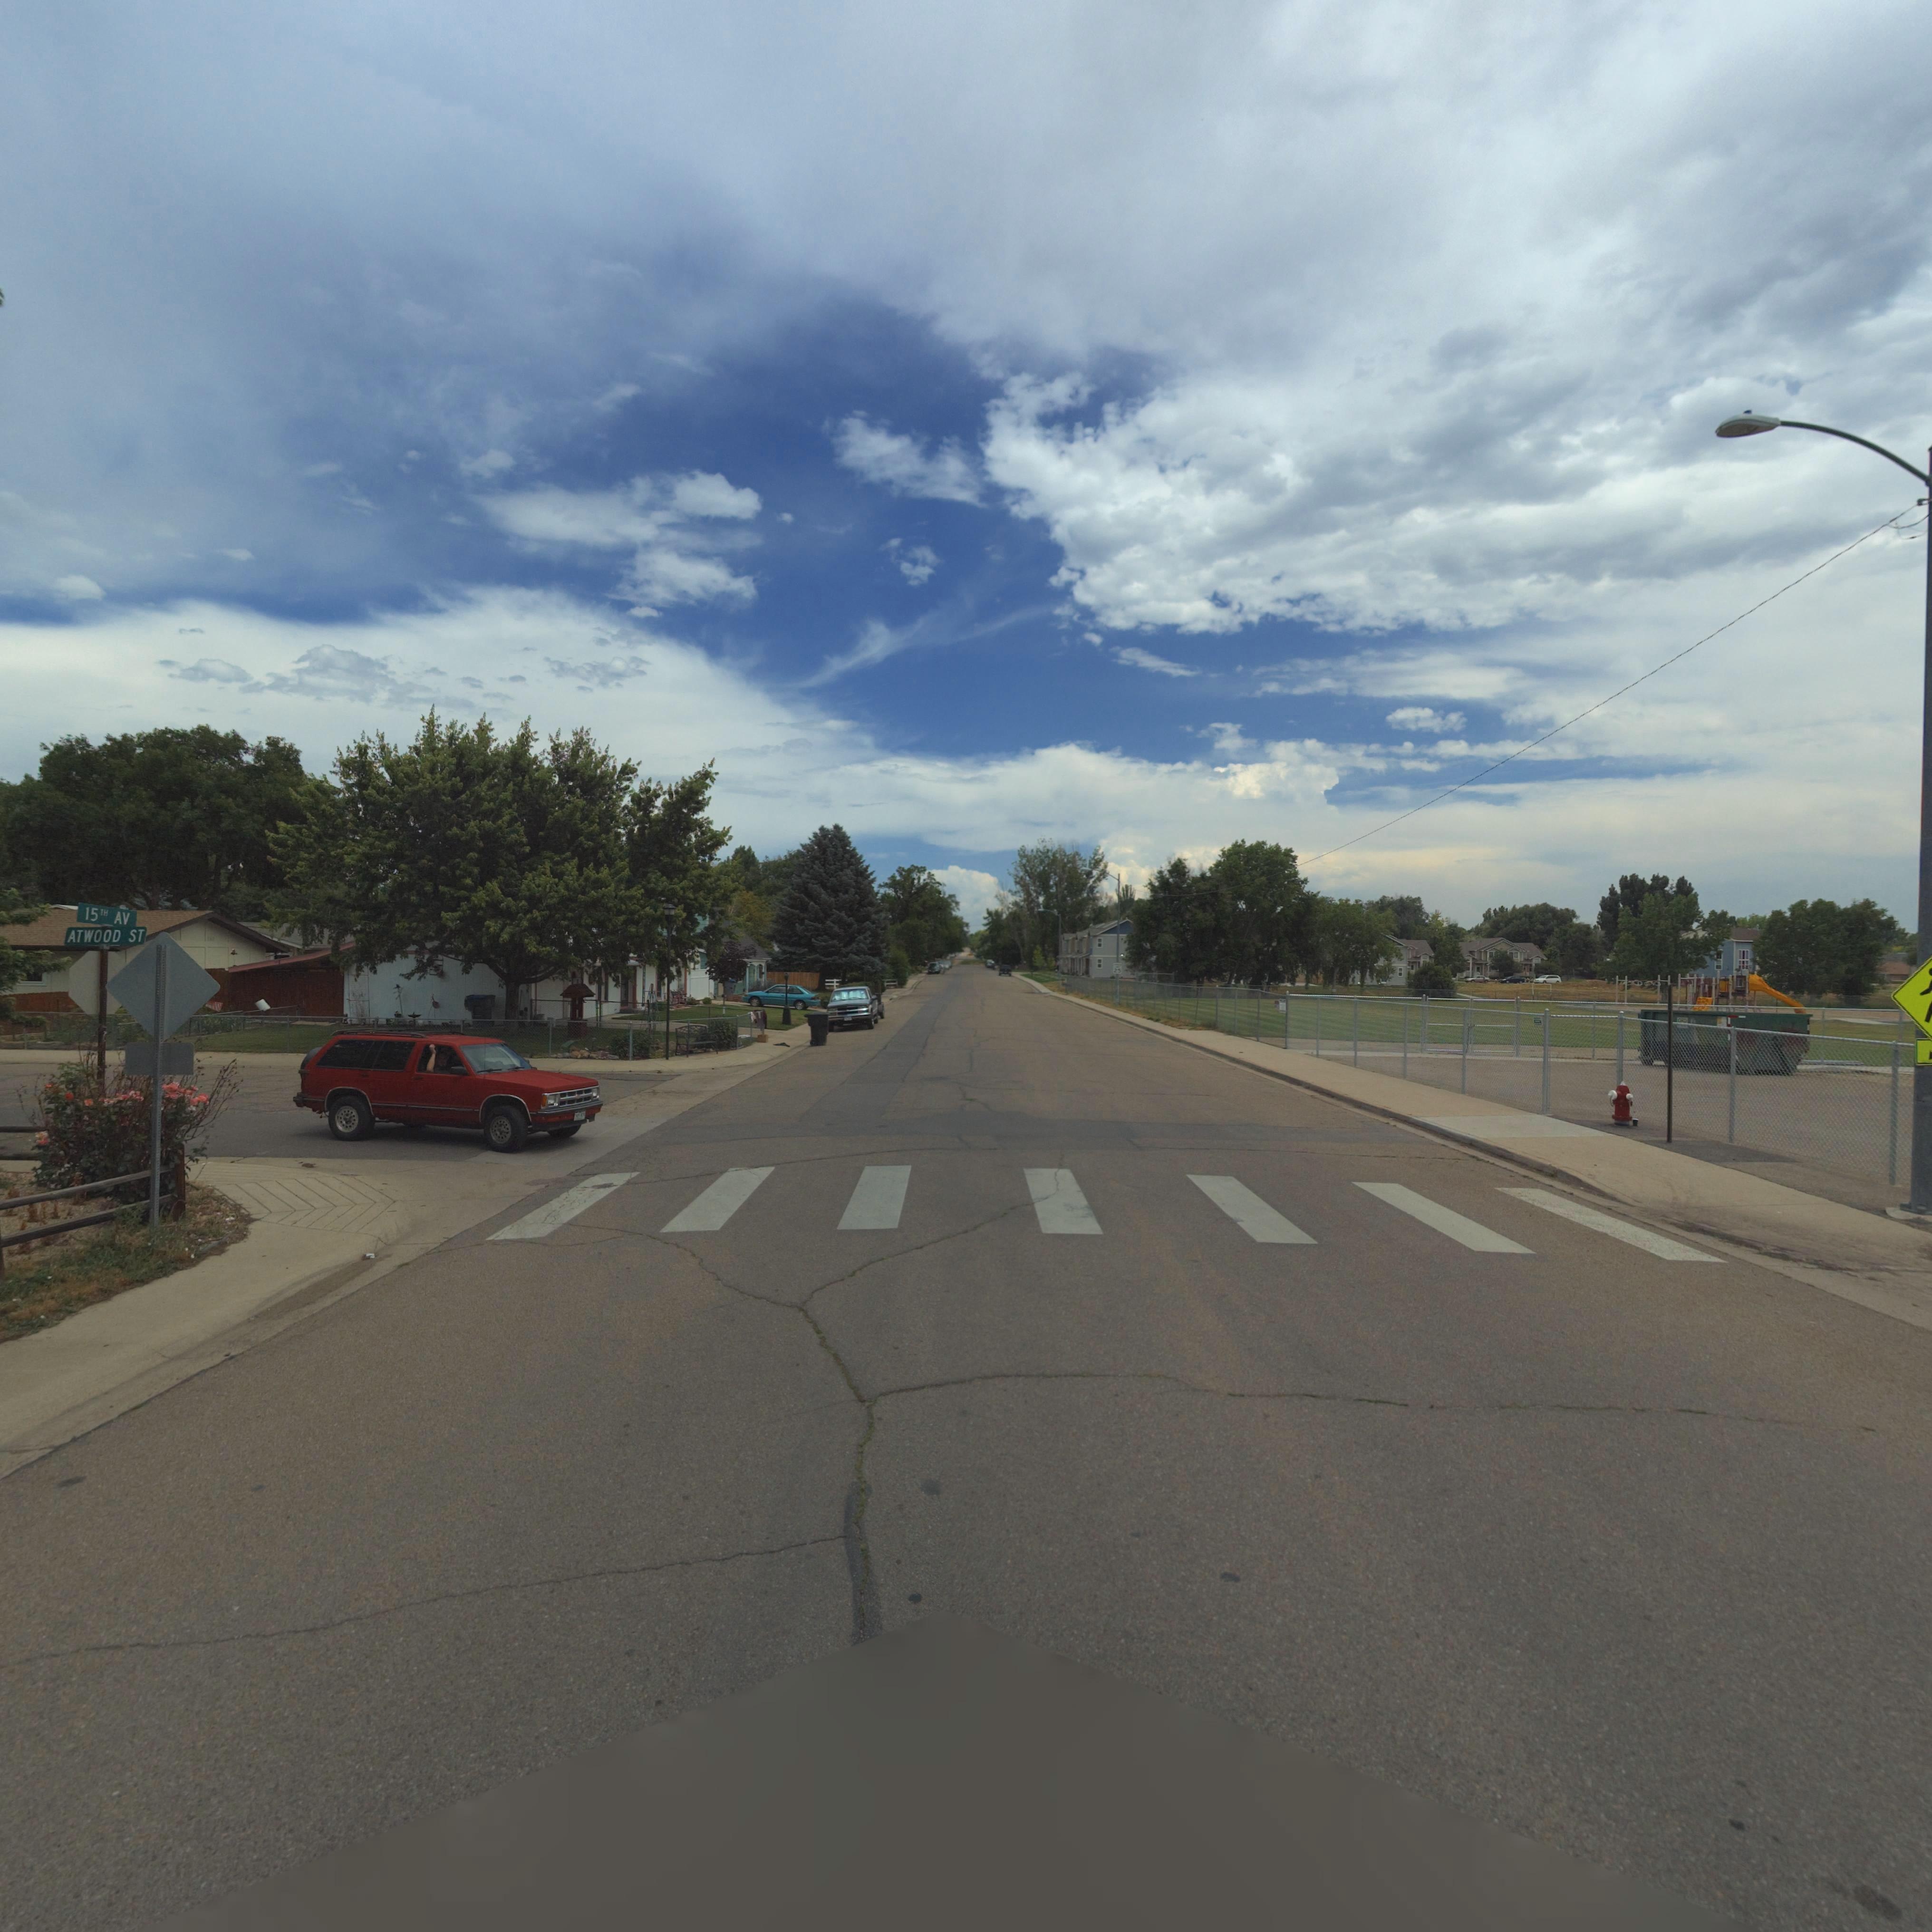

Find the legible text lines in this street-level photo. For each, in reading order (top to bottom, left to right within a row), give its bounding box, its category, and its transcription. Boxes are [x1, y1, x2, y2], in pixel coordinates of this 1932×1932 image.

[85, 906, 132, 925] StreetName: 15TH AV
[66, 928, 145, 943] StreetName: ATWOOD ST